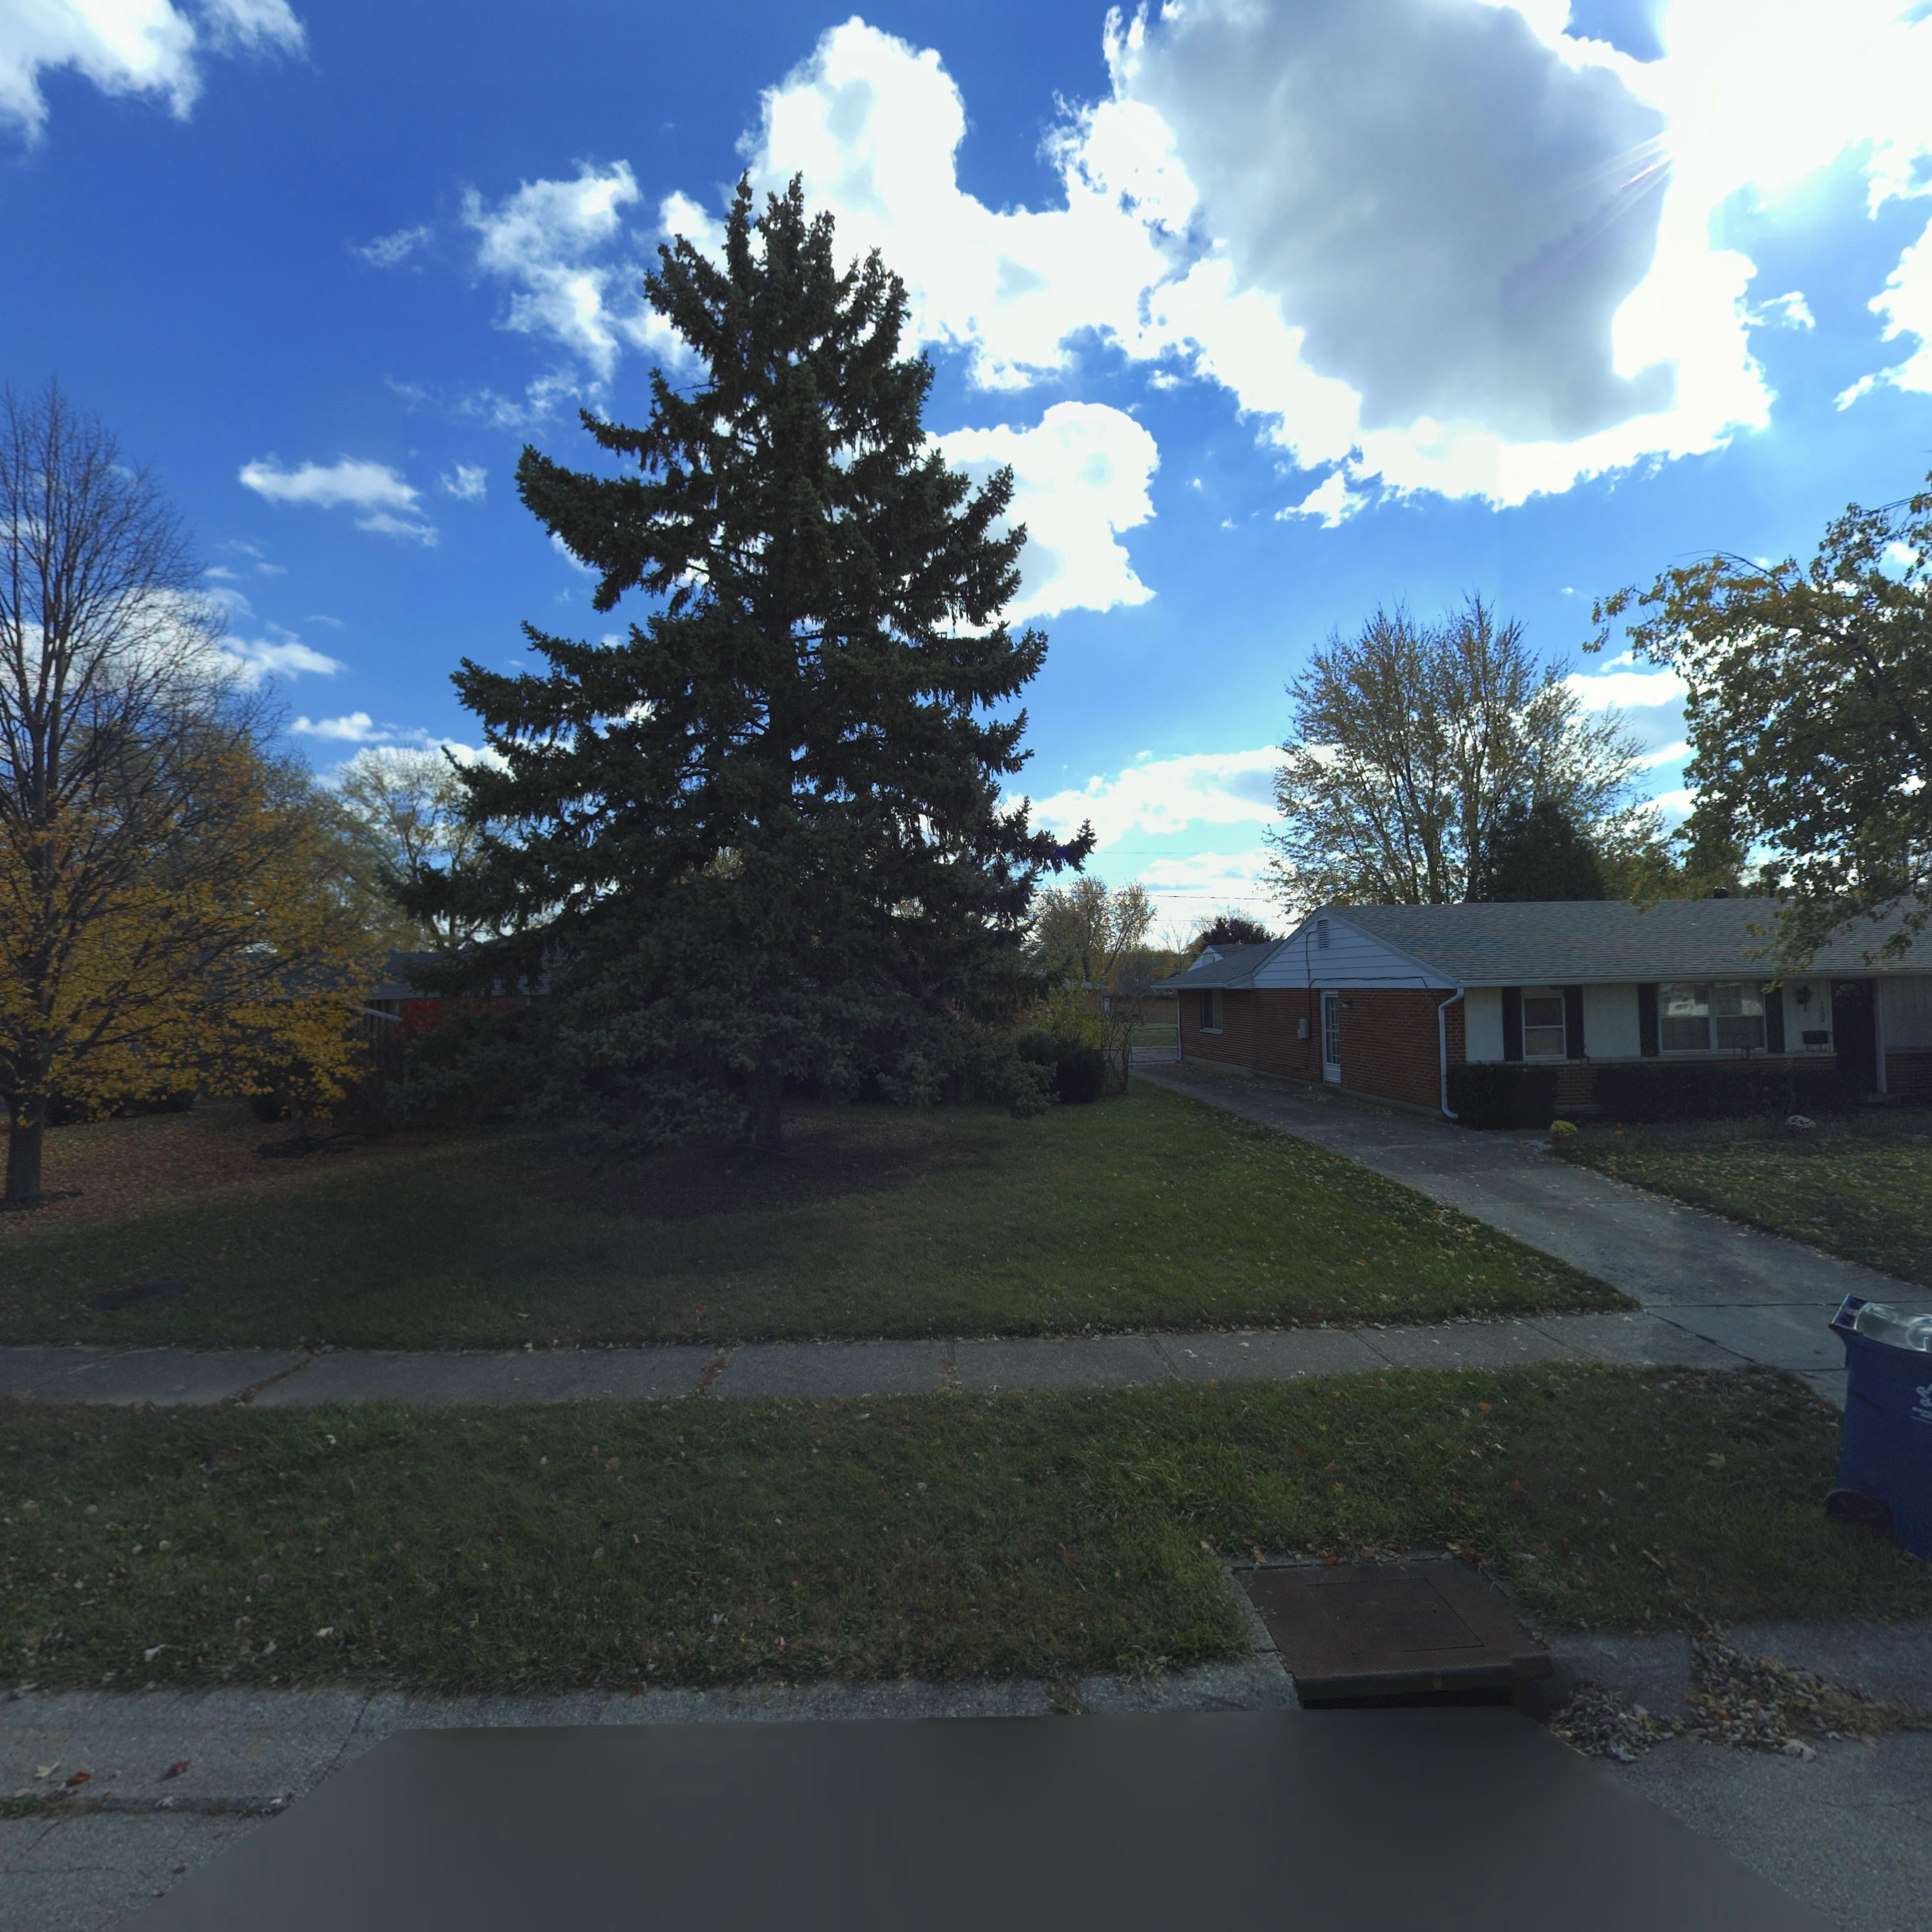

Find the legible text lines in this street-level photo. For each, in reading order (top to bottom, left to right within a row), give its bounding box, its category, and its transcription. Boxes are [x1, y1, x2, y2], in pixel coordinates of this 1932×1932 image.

[1820, 999, 1826, 1022] StreetNumber: 77**